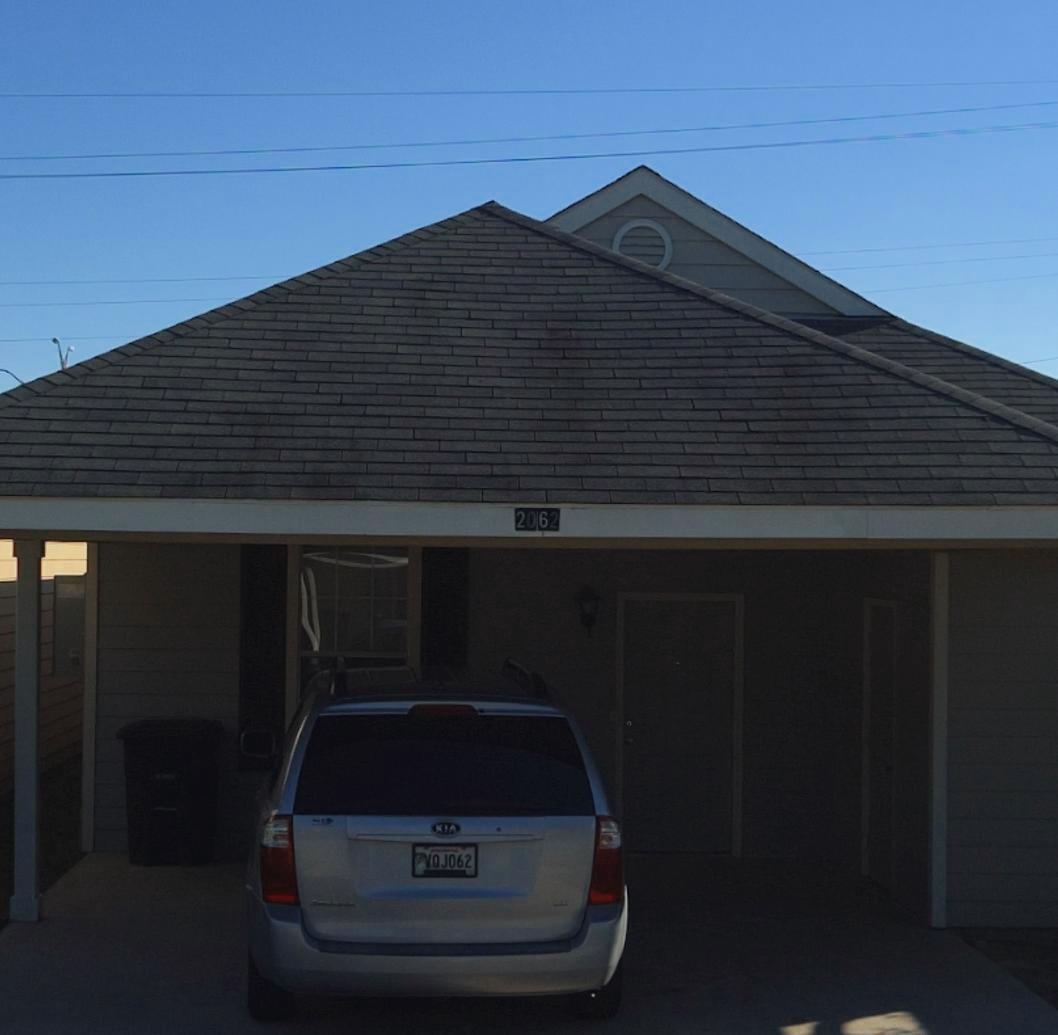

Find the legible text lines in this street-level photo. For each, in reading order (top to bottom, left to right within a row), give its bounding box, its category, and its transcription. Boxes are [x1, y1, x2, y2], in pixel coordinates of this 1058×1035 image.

[516, 510, 560, 530] StreetNumber: 2062
[434, 823, 460, 834] None: KIA
[421, 852, 474, 870] None: VQJ062